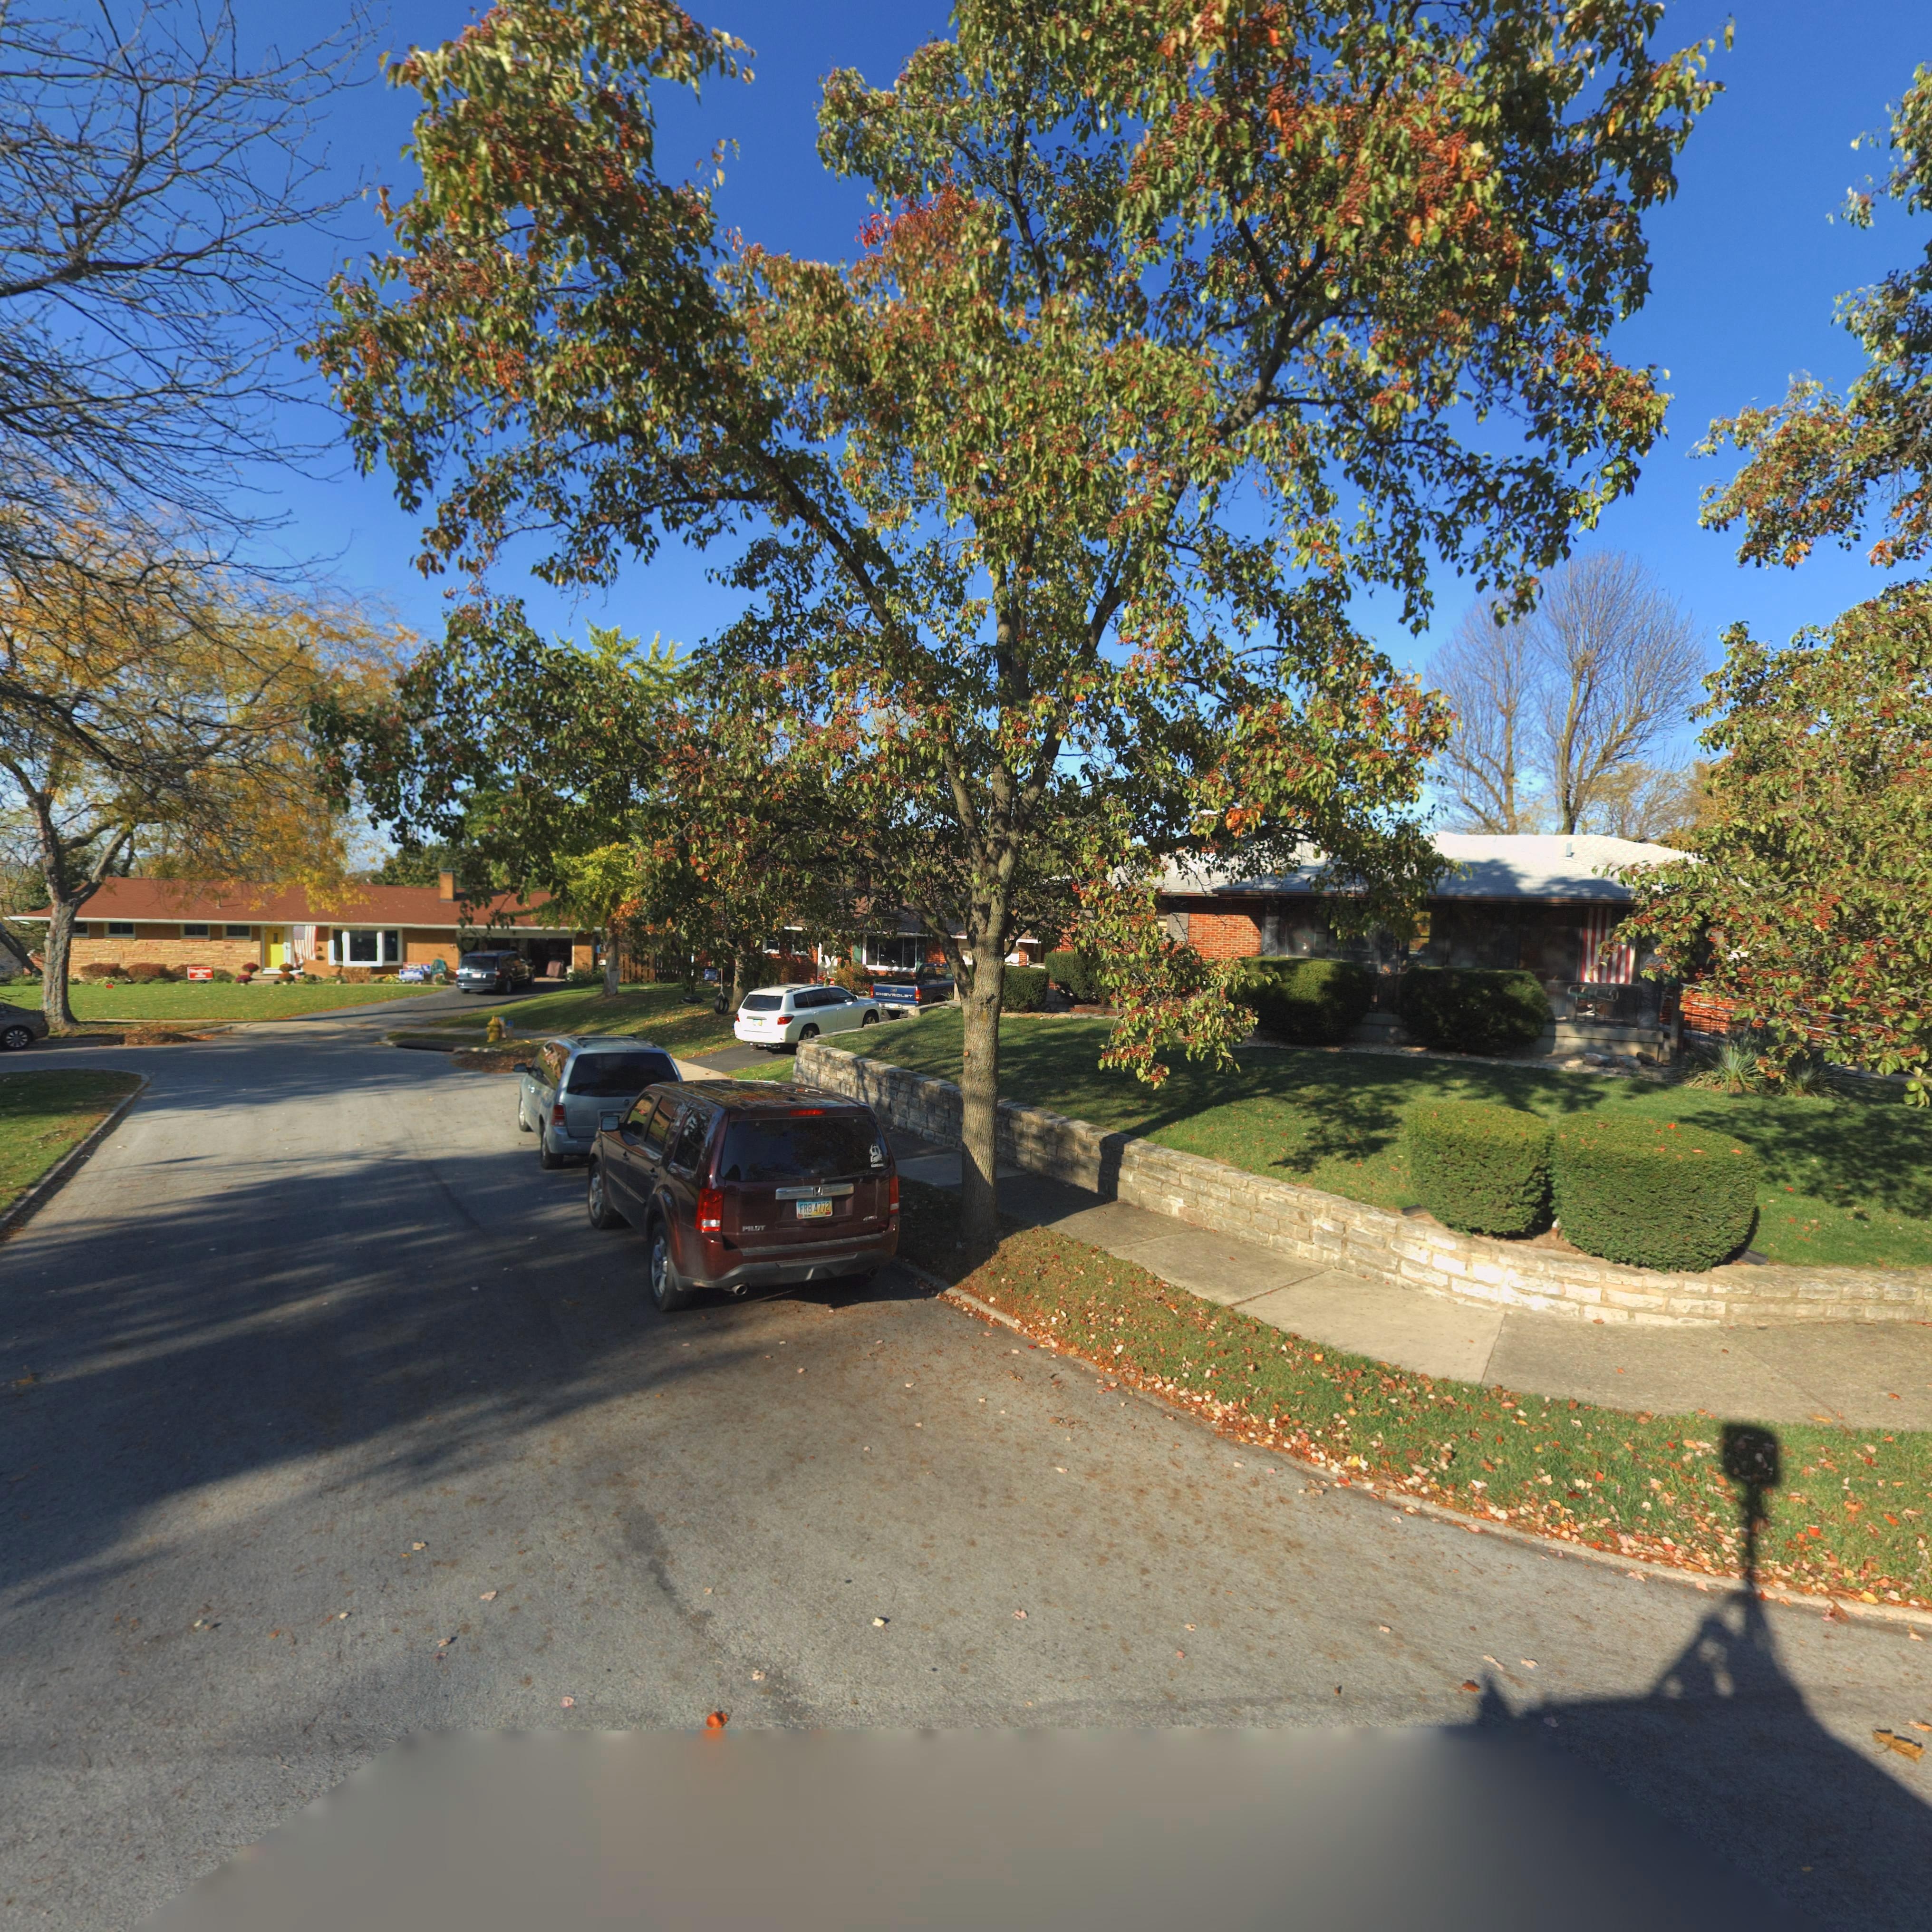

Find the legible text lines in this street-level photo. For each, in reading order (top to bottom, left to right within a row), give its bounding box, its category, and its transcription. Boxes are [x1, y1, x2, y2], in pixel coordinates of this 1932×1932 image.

[1478, 945, 1488, 951] StreetNumber: 3*